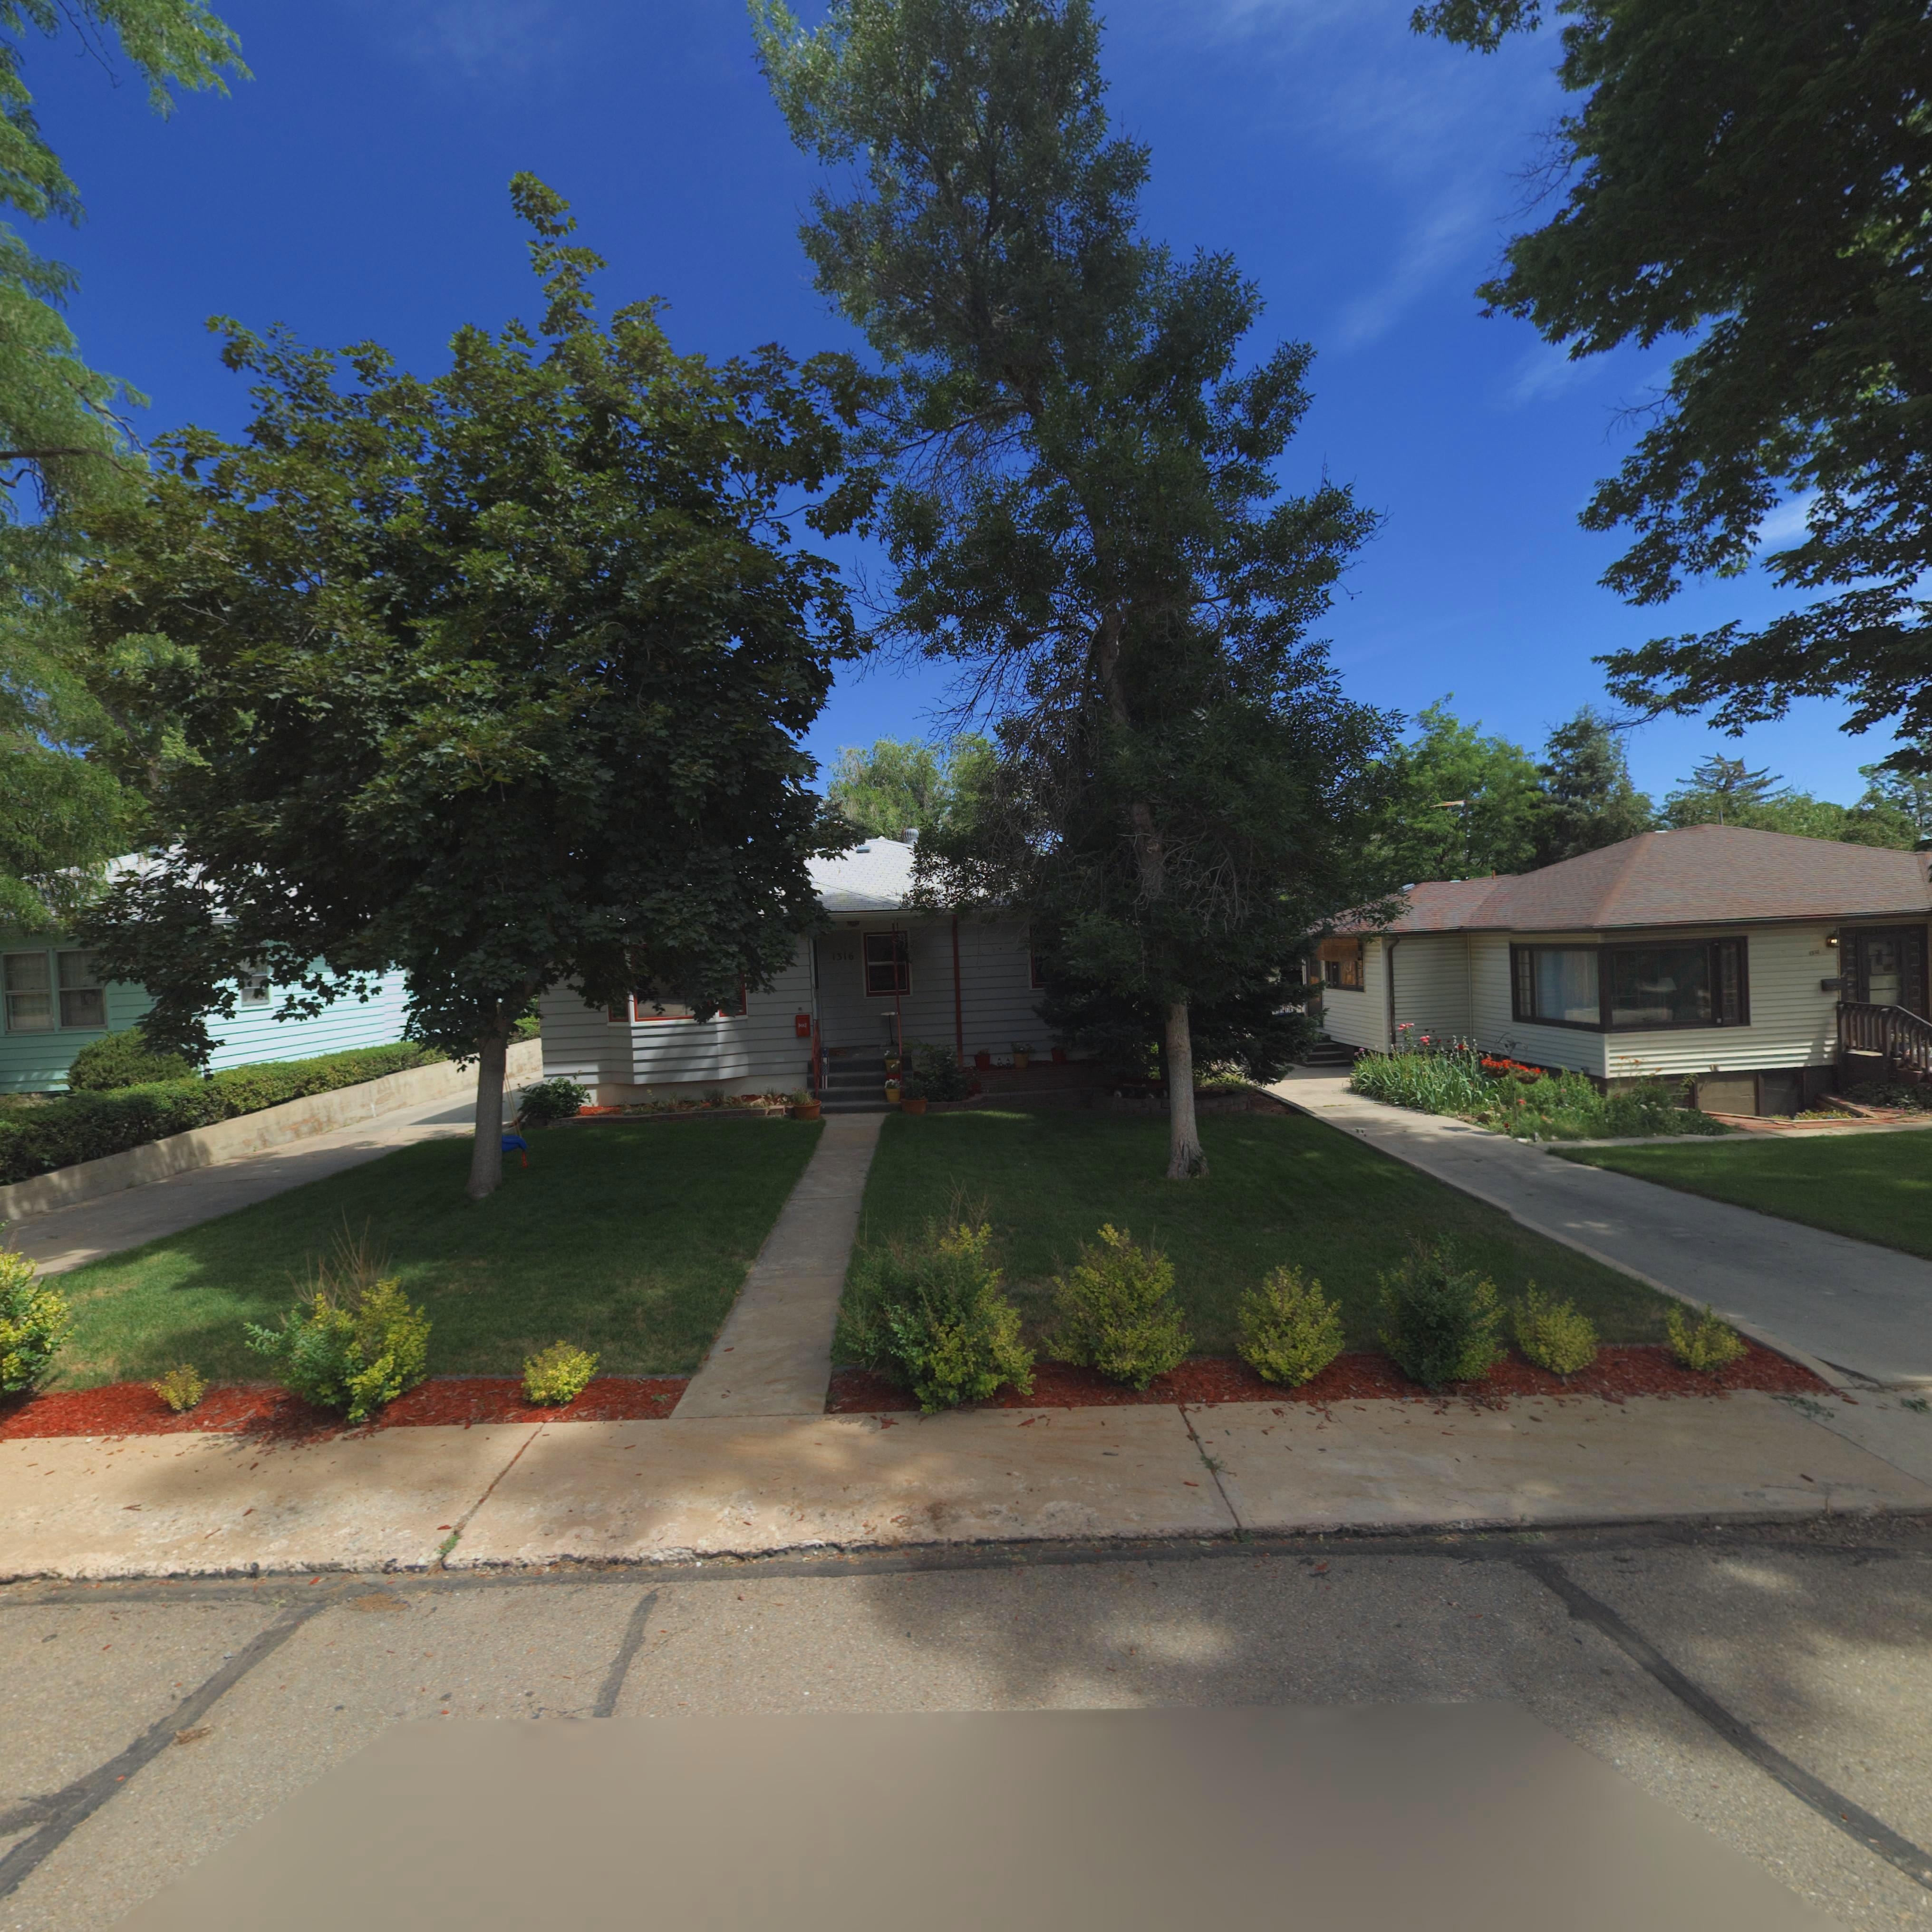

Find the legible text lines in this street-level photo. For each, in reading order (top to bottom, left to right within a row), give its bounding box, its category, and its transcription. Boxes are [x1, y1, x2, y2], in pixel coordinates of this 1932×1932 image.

[832, 952, 854, 960] StreetNumber: 1316
[1808, 949, 1820, 956] StreetNumber: 13*2